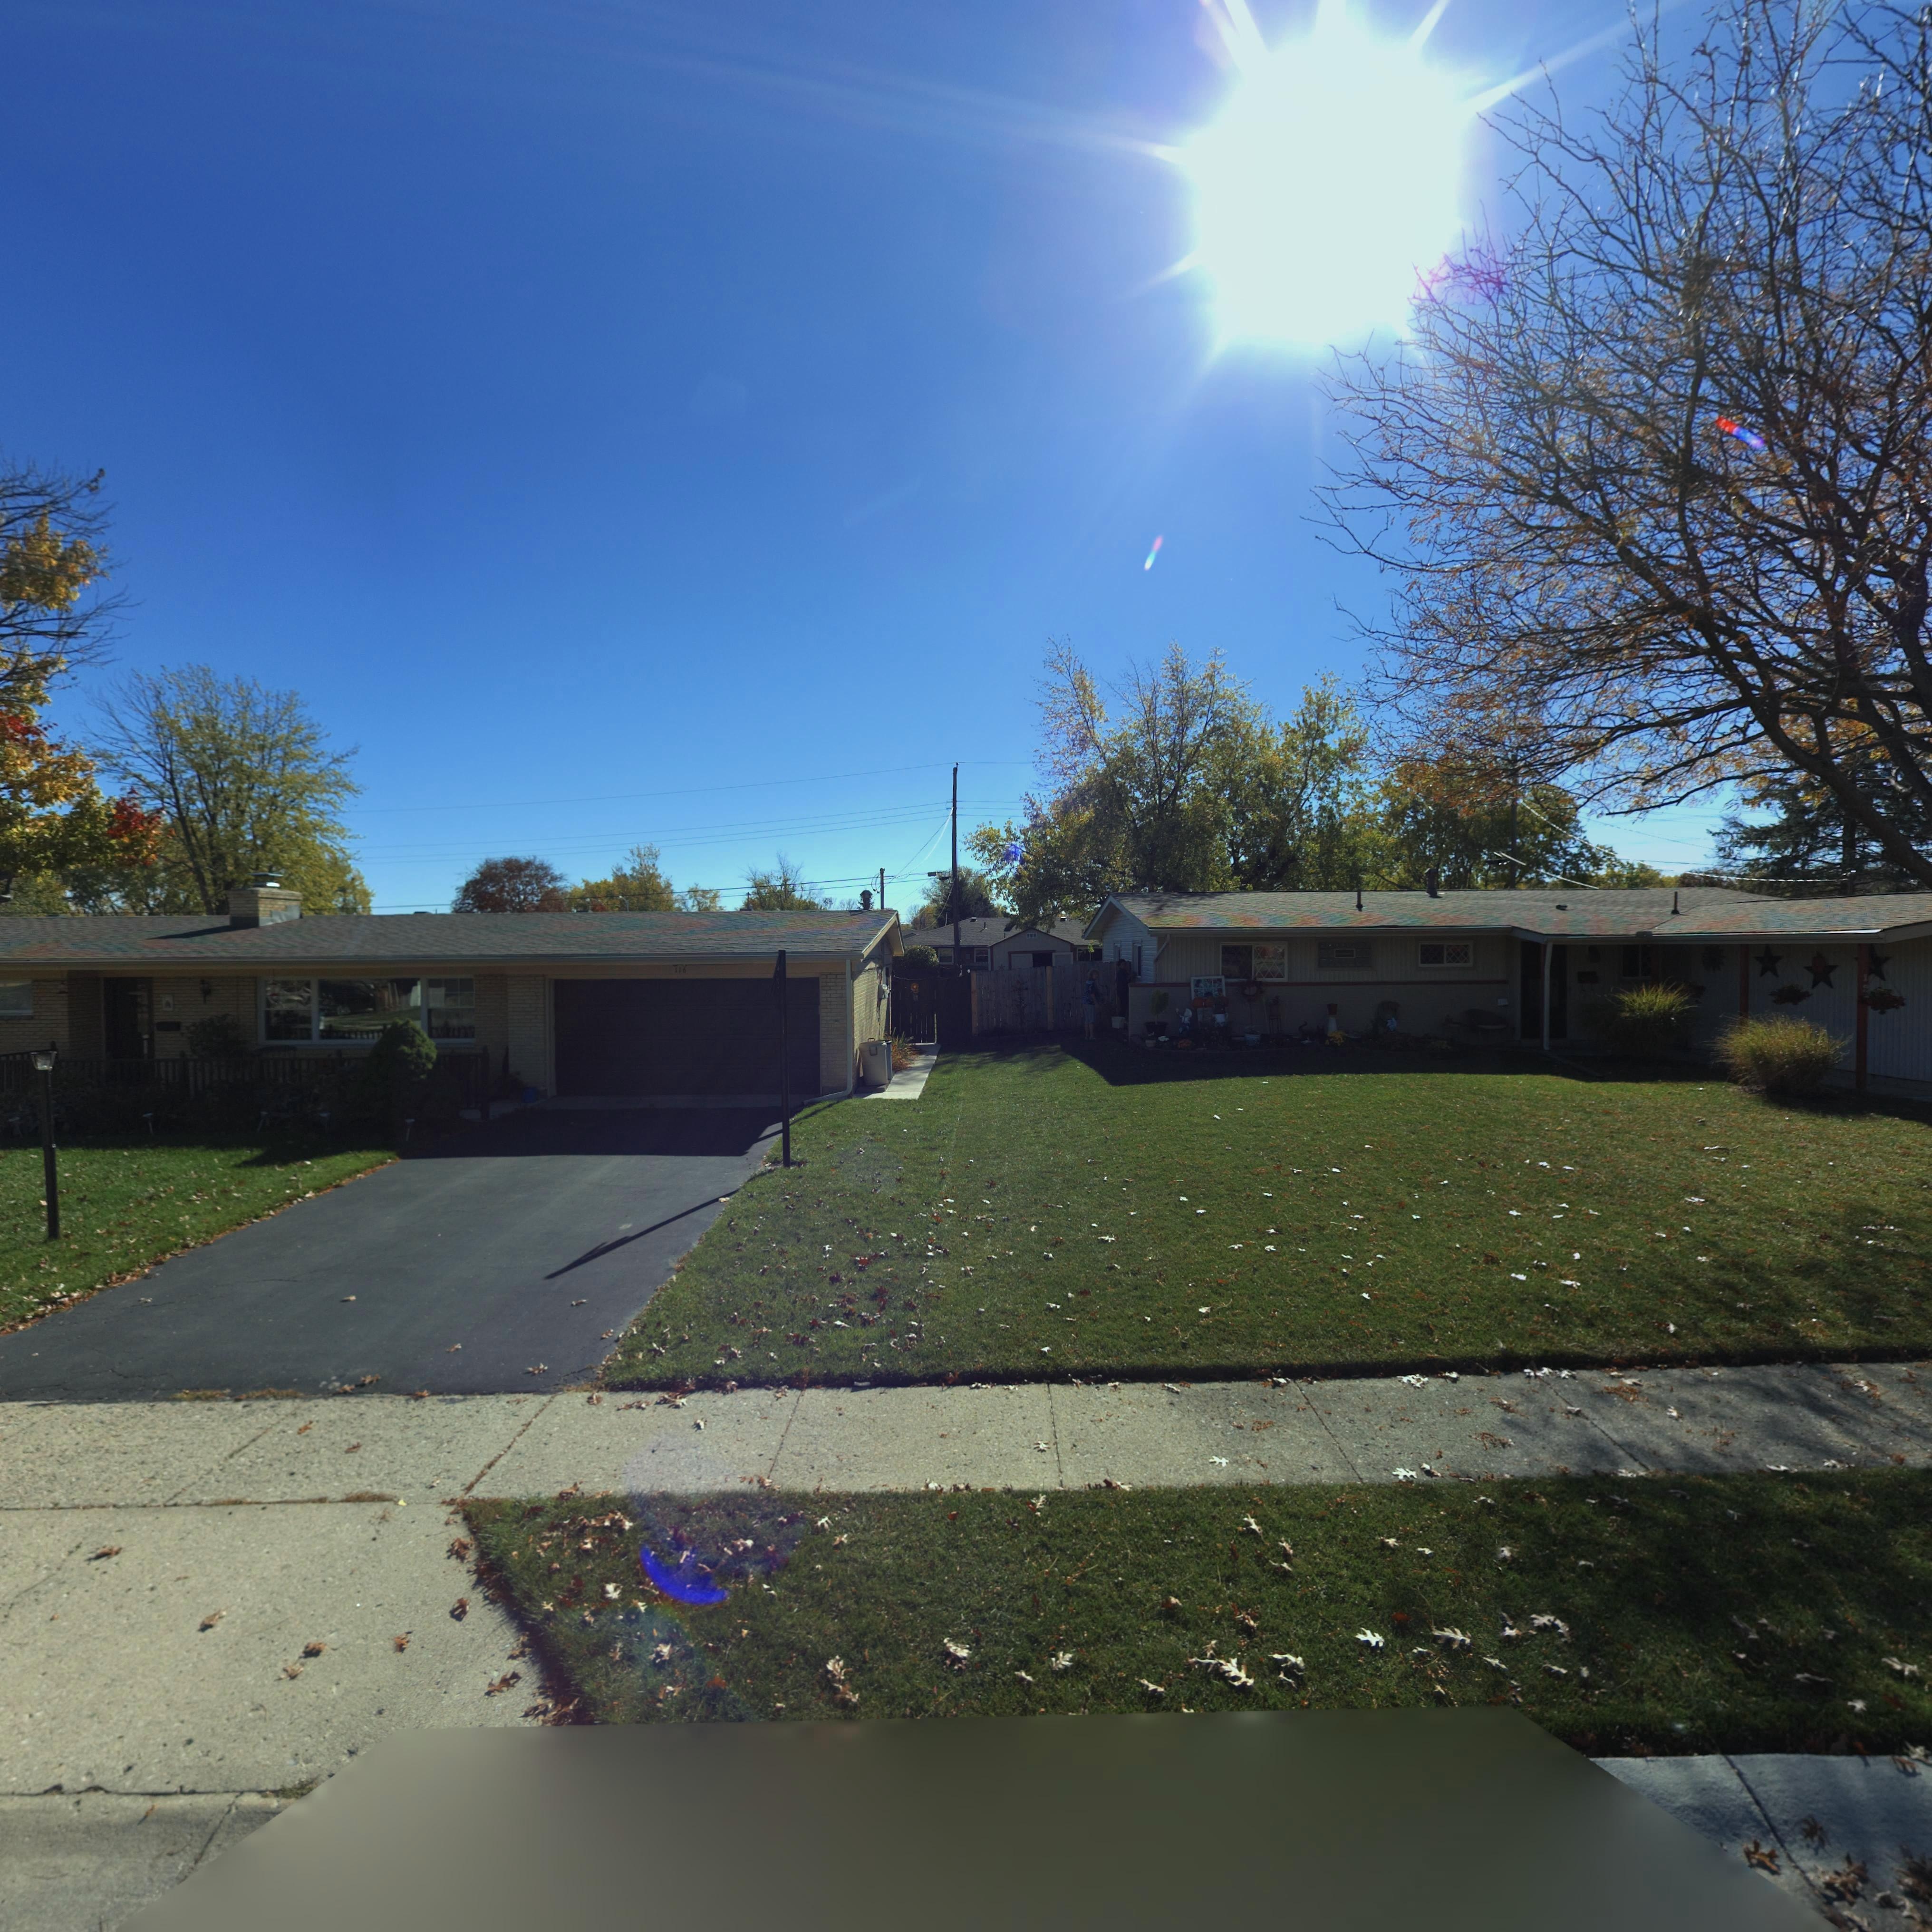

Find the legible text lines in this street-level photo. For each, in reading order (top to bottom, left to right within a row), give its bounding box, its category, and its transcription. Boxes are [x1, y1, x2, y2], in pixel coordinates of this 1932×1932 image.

[674, 965, 688, 974] StreetNumber: 116
[1862, 973, 1869, 982] StreetNumber: 1